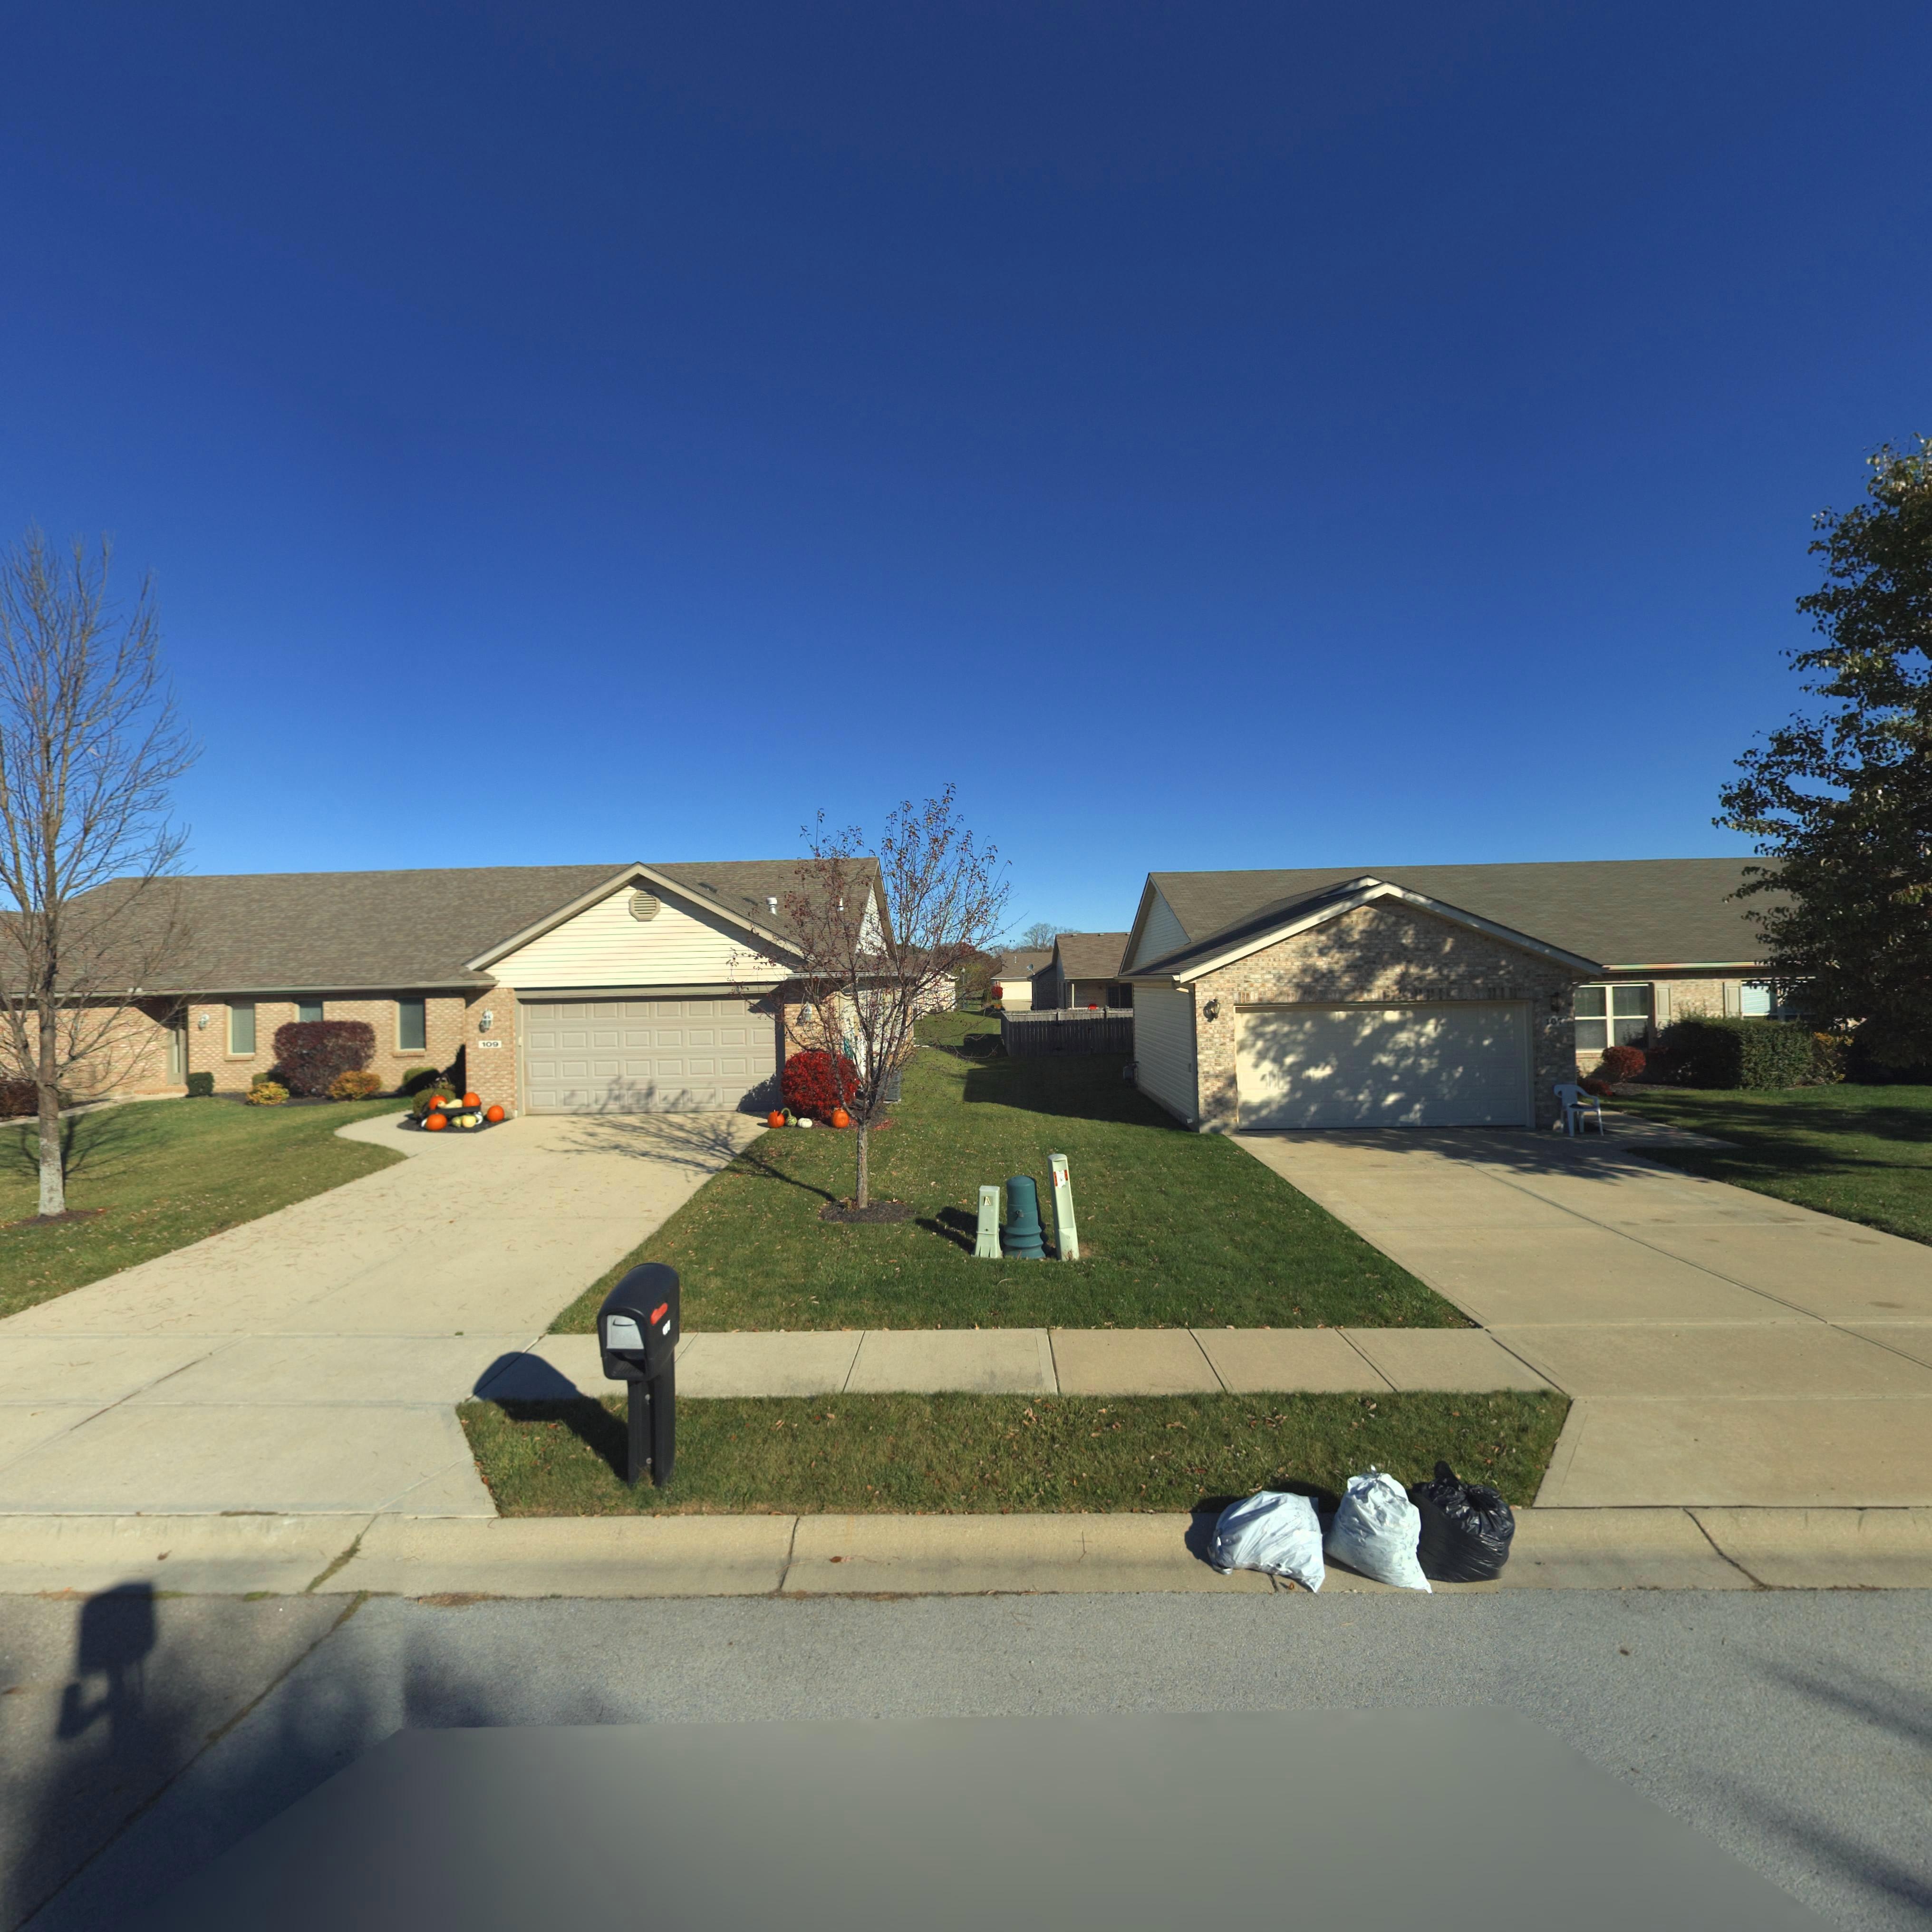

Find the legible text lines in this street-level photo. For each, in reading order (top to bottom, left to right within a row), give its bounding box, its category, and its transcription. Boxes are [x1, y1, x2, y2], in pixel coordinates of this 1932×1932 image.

[1545, 1017, 1563, 1025] StreetNumber: 107
[482, 1041, 499, 1048] StreetNumber: 109